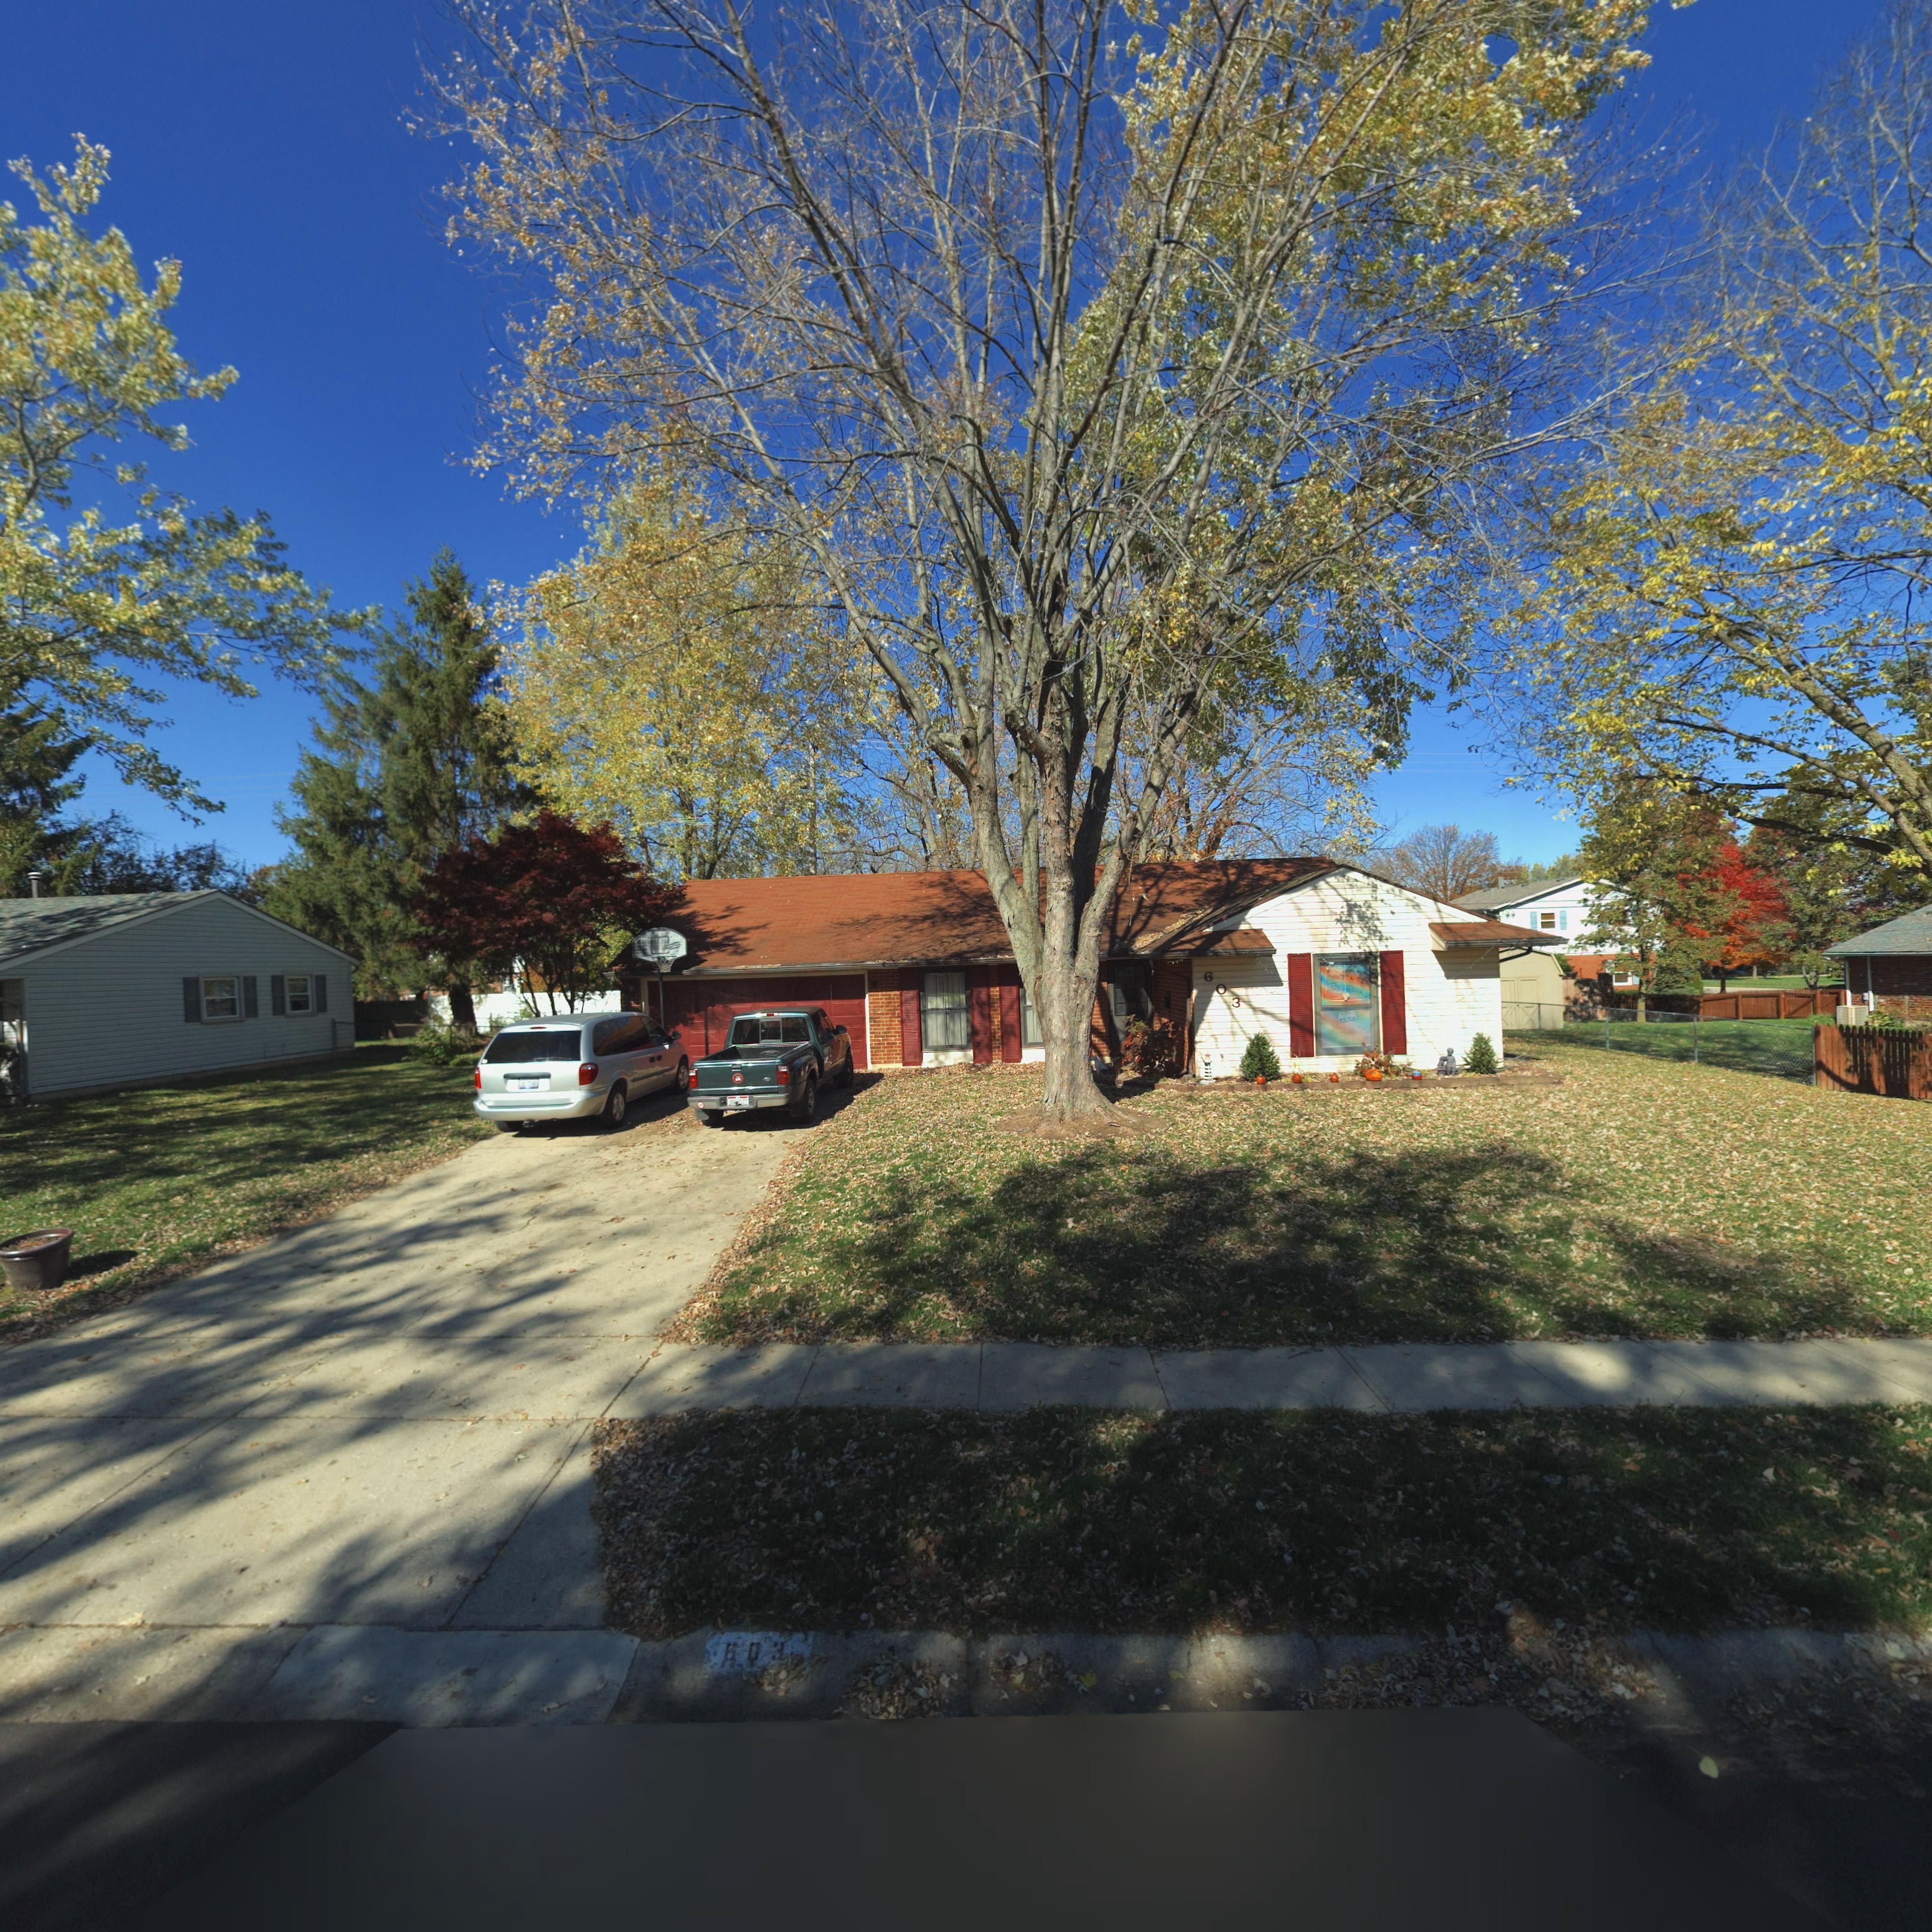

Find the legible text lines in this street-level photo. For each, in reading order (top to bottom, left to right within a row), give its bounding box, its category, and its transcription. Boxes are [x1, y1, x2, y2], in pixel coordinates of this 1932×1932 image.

[1203, 971, 1241, 1008] StreetNumber: 603
[723, 1641, 786, 1662] StreetNumber: 603